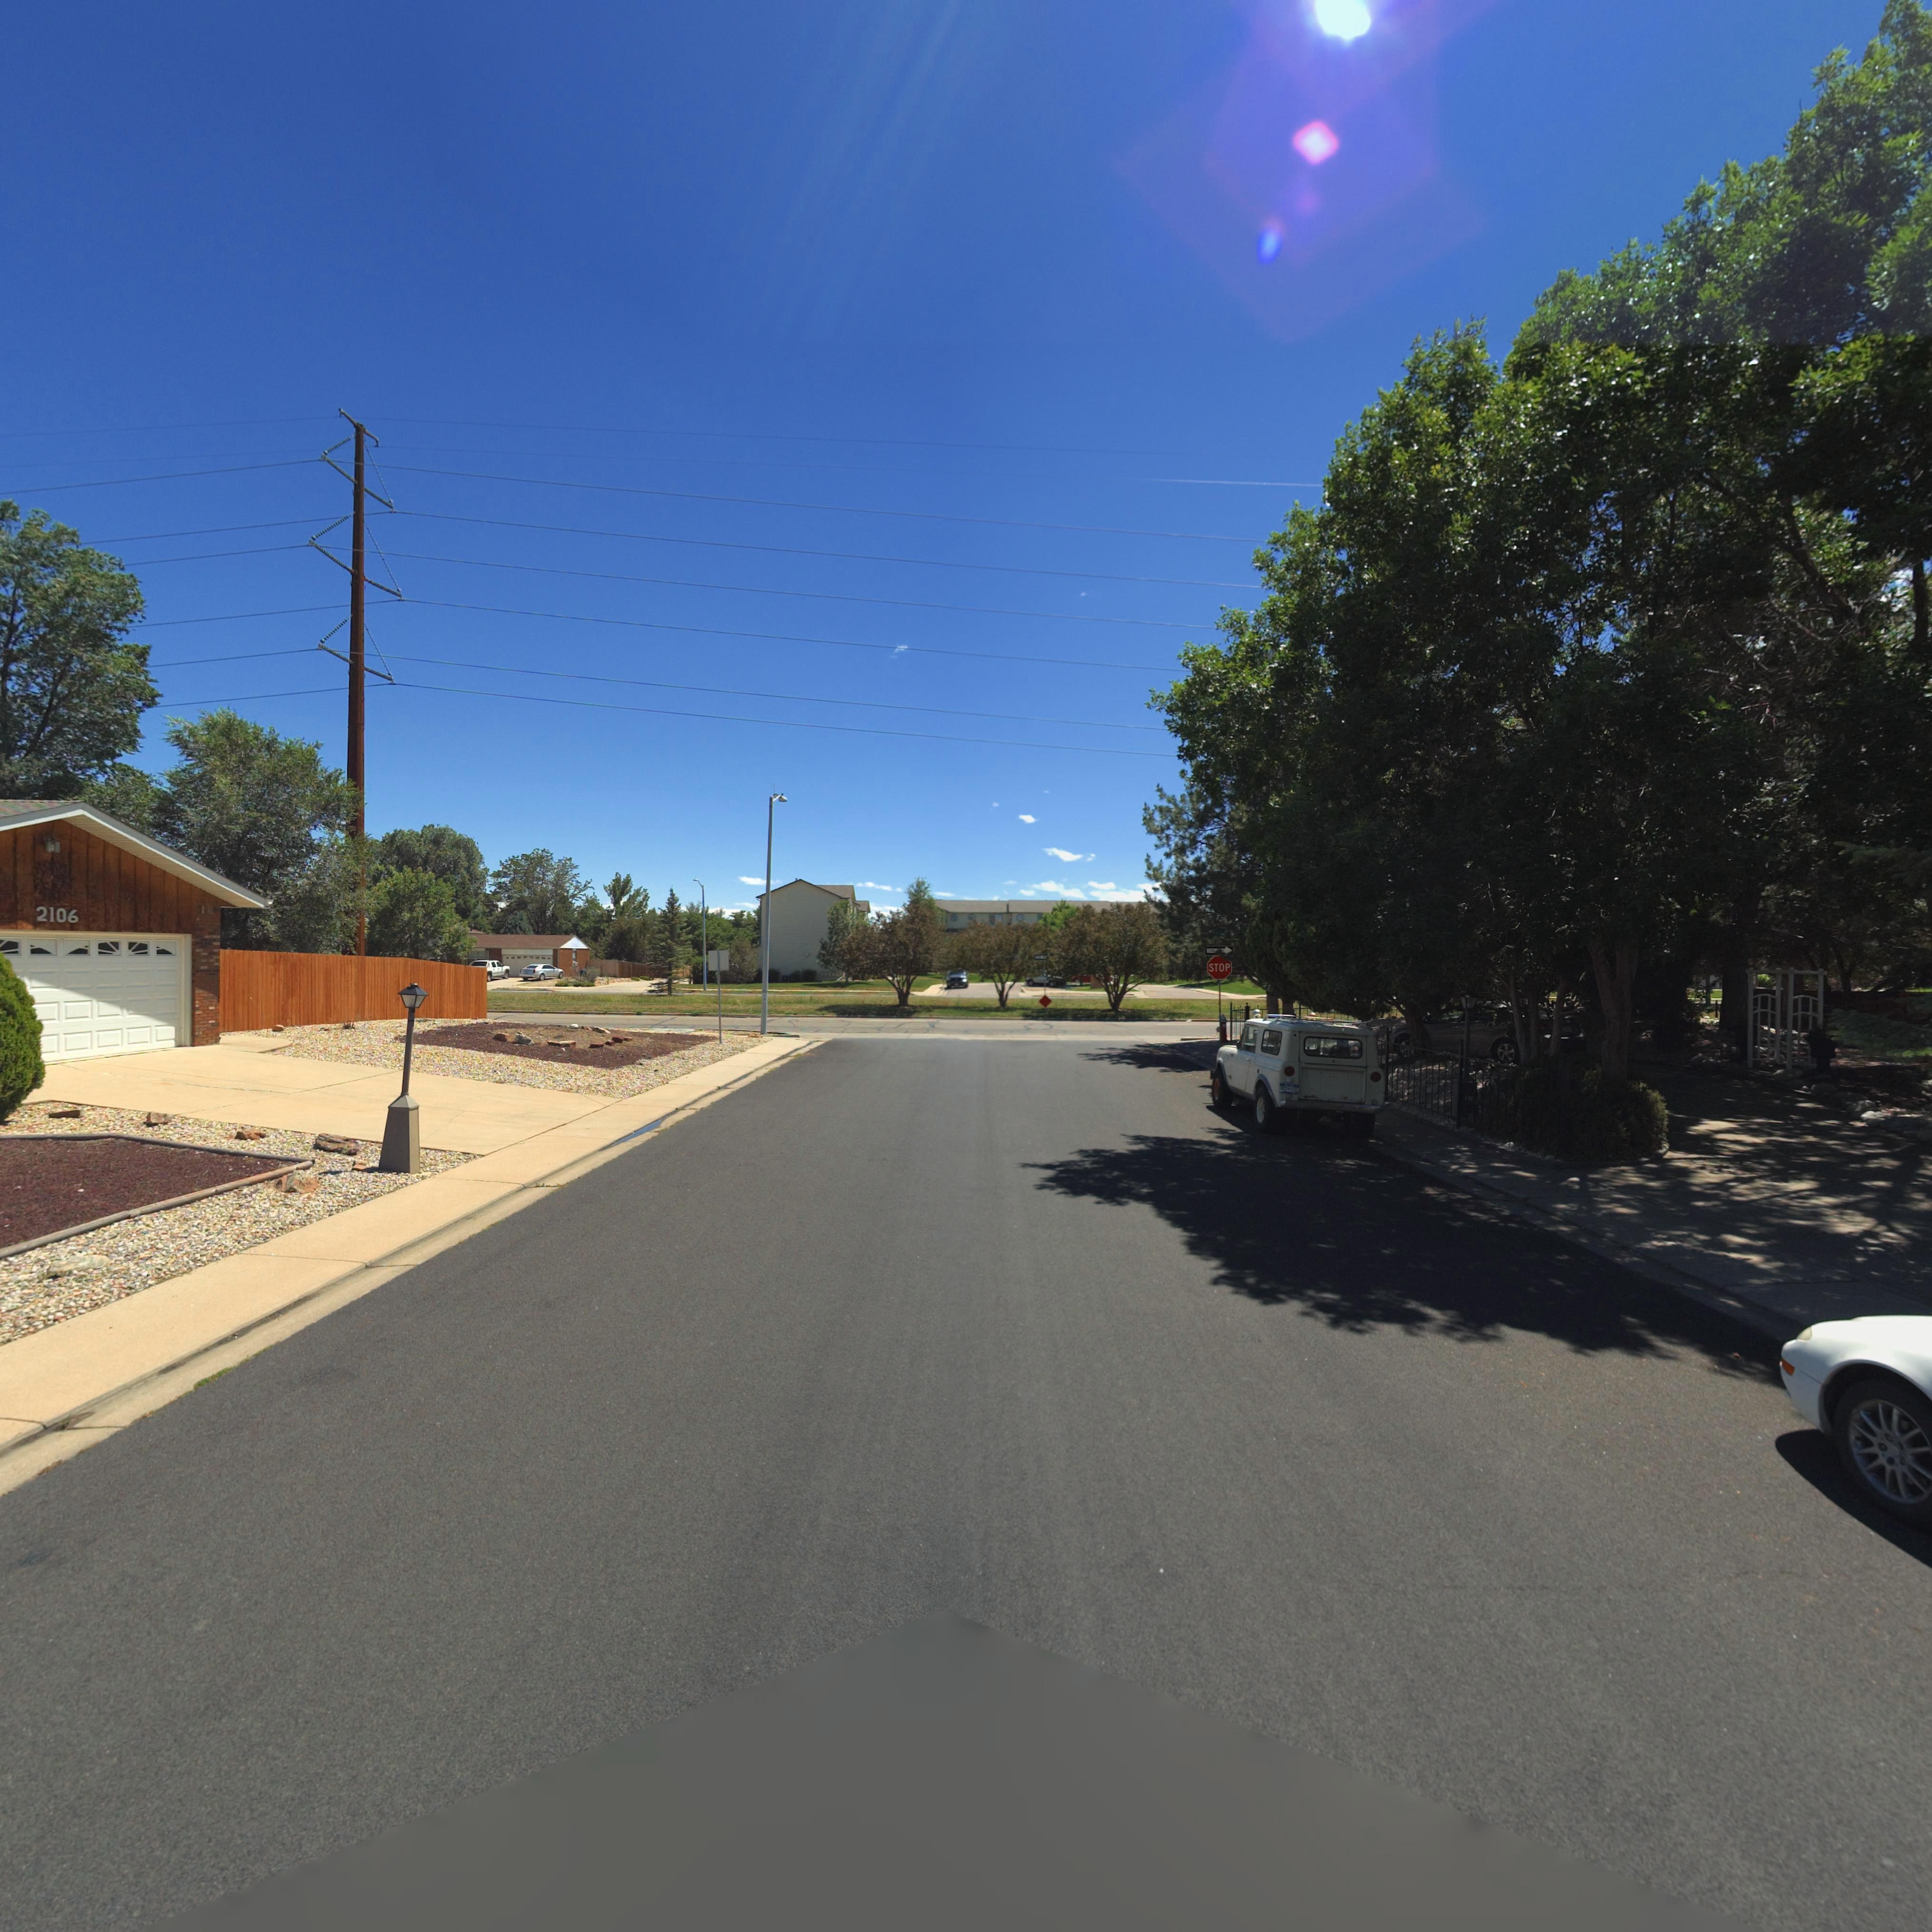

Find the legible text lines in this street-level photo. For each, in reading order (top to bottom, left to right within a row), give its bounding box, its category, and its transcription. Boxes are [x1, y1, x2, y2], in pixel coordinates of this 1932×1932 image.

[35, 905, 79, 924] StreetNumber: 2106